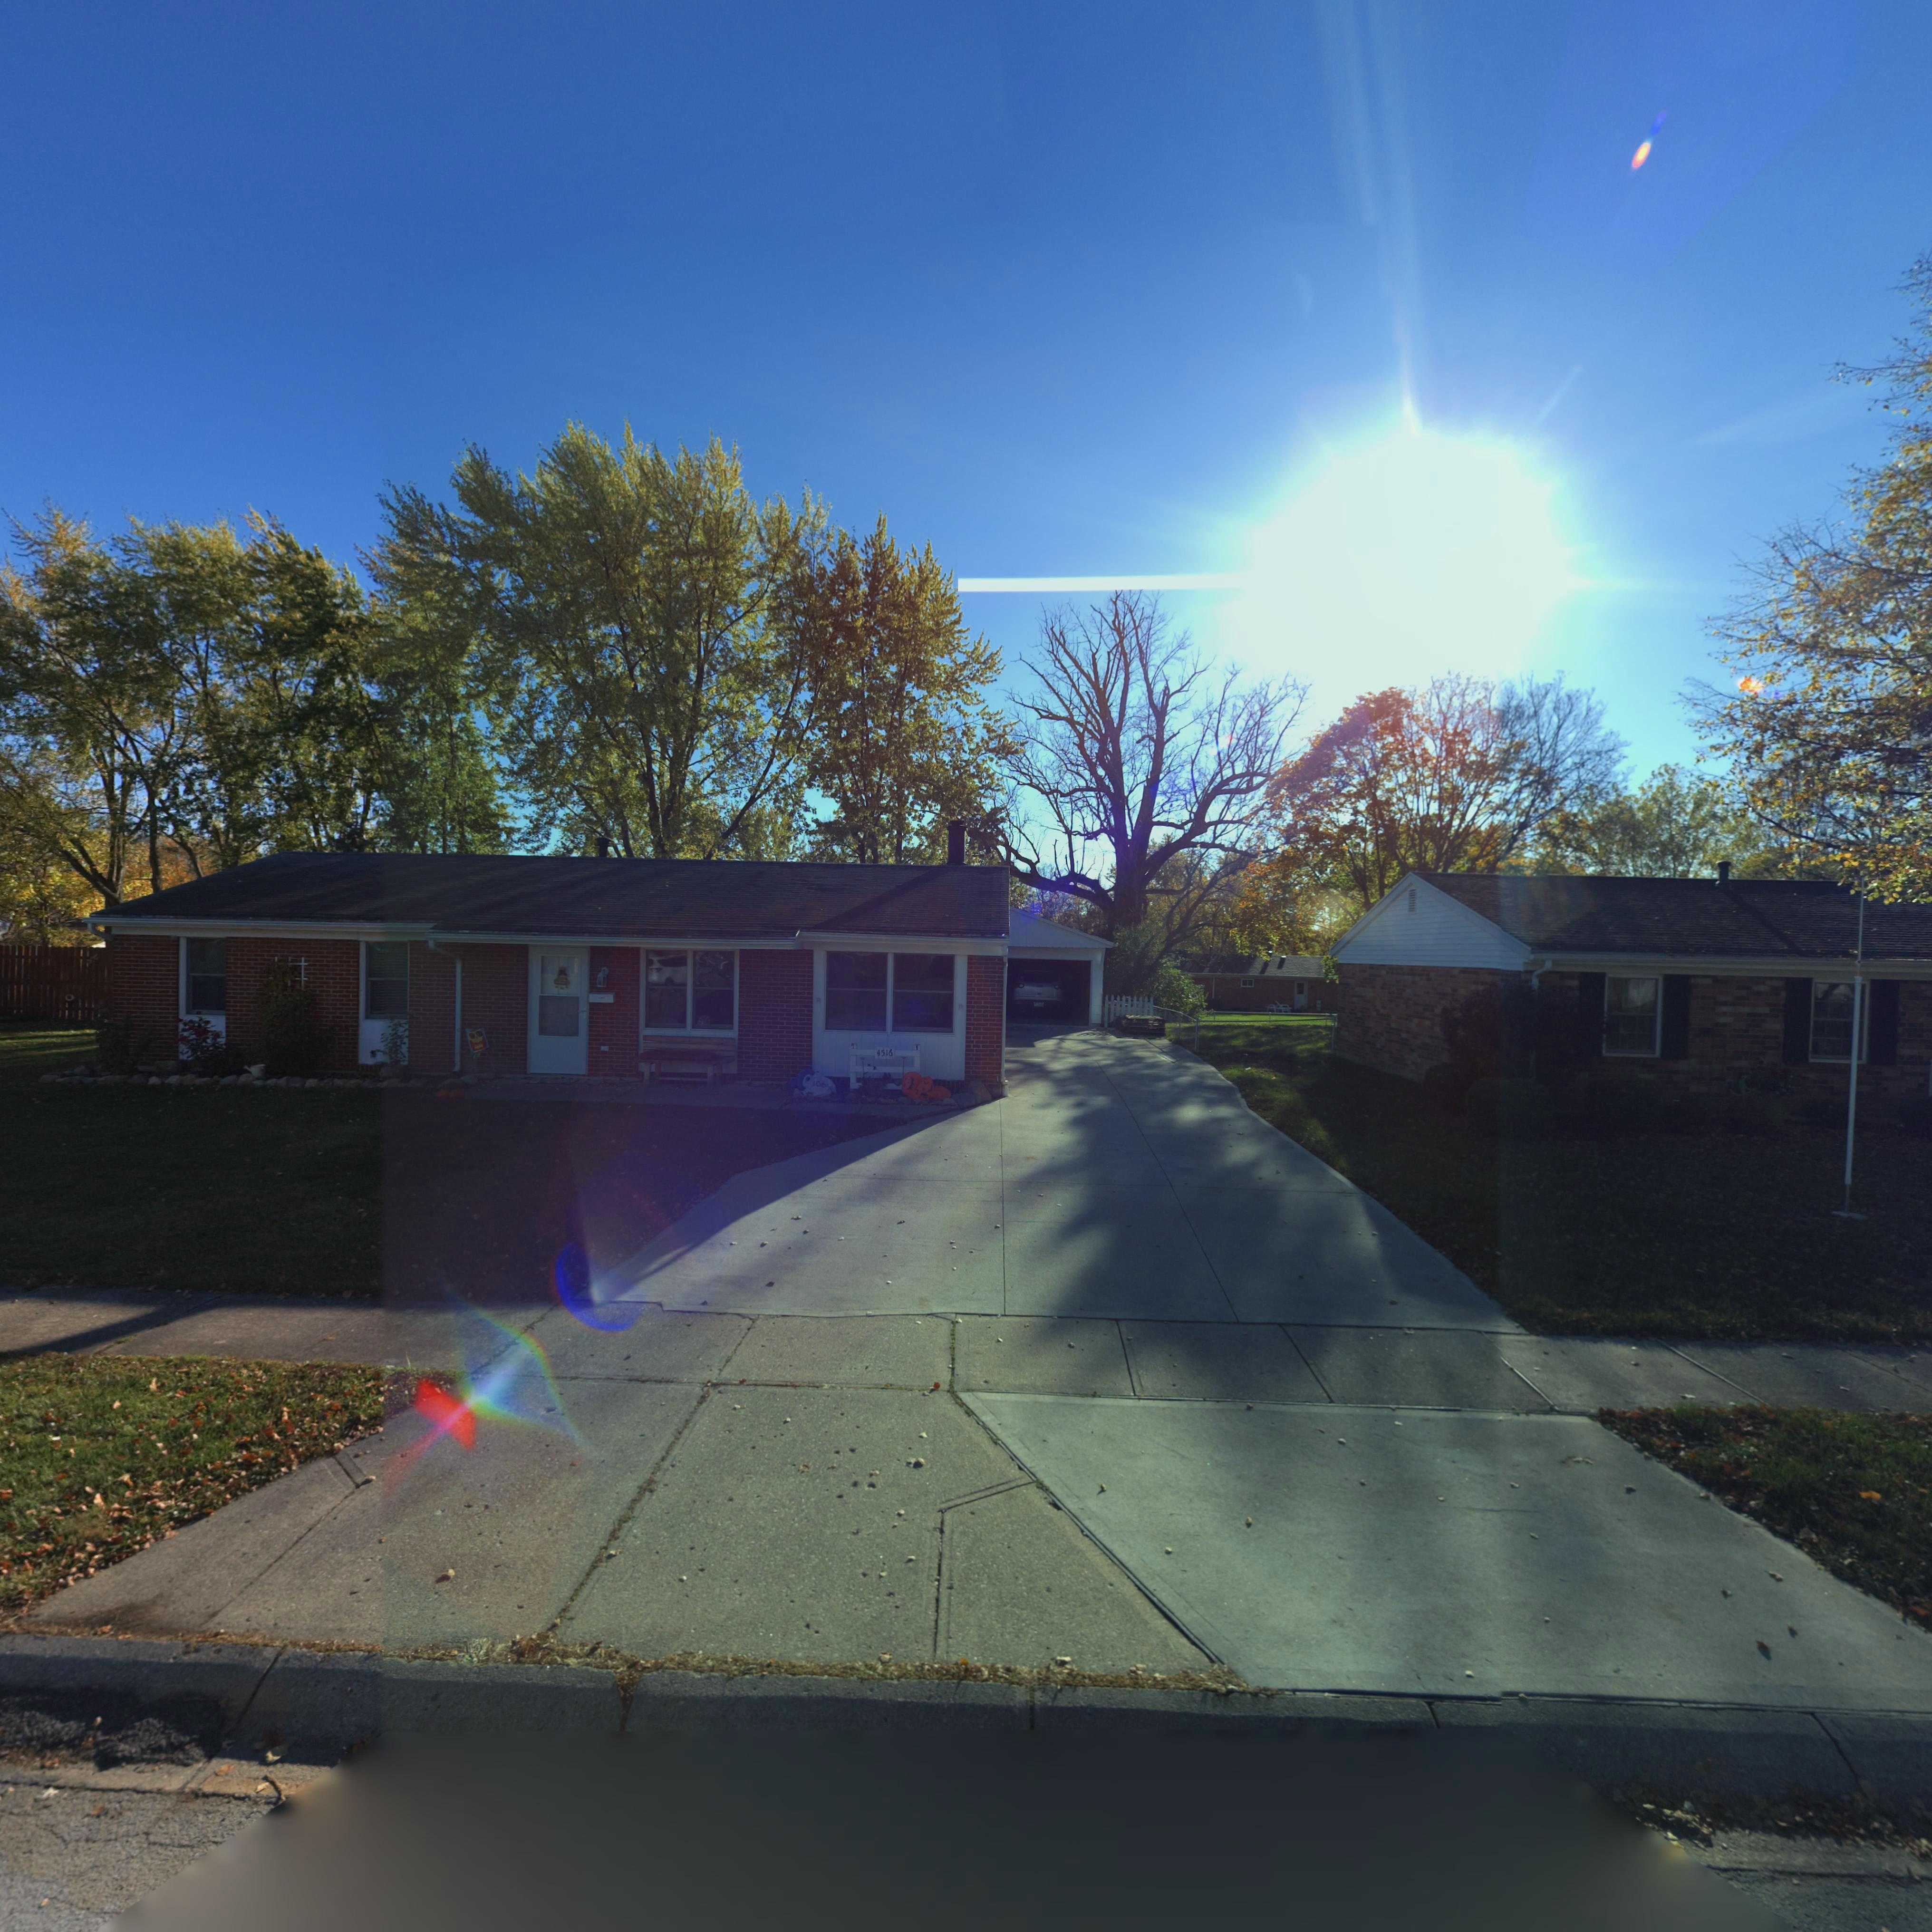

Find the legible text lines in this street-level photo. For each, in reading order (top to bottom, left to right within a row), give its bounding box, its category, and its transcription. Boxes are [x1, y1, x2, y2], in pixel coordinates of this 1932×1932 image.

[877, 1048, 893, 1057] StreetNumber: 4516